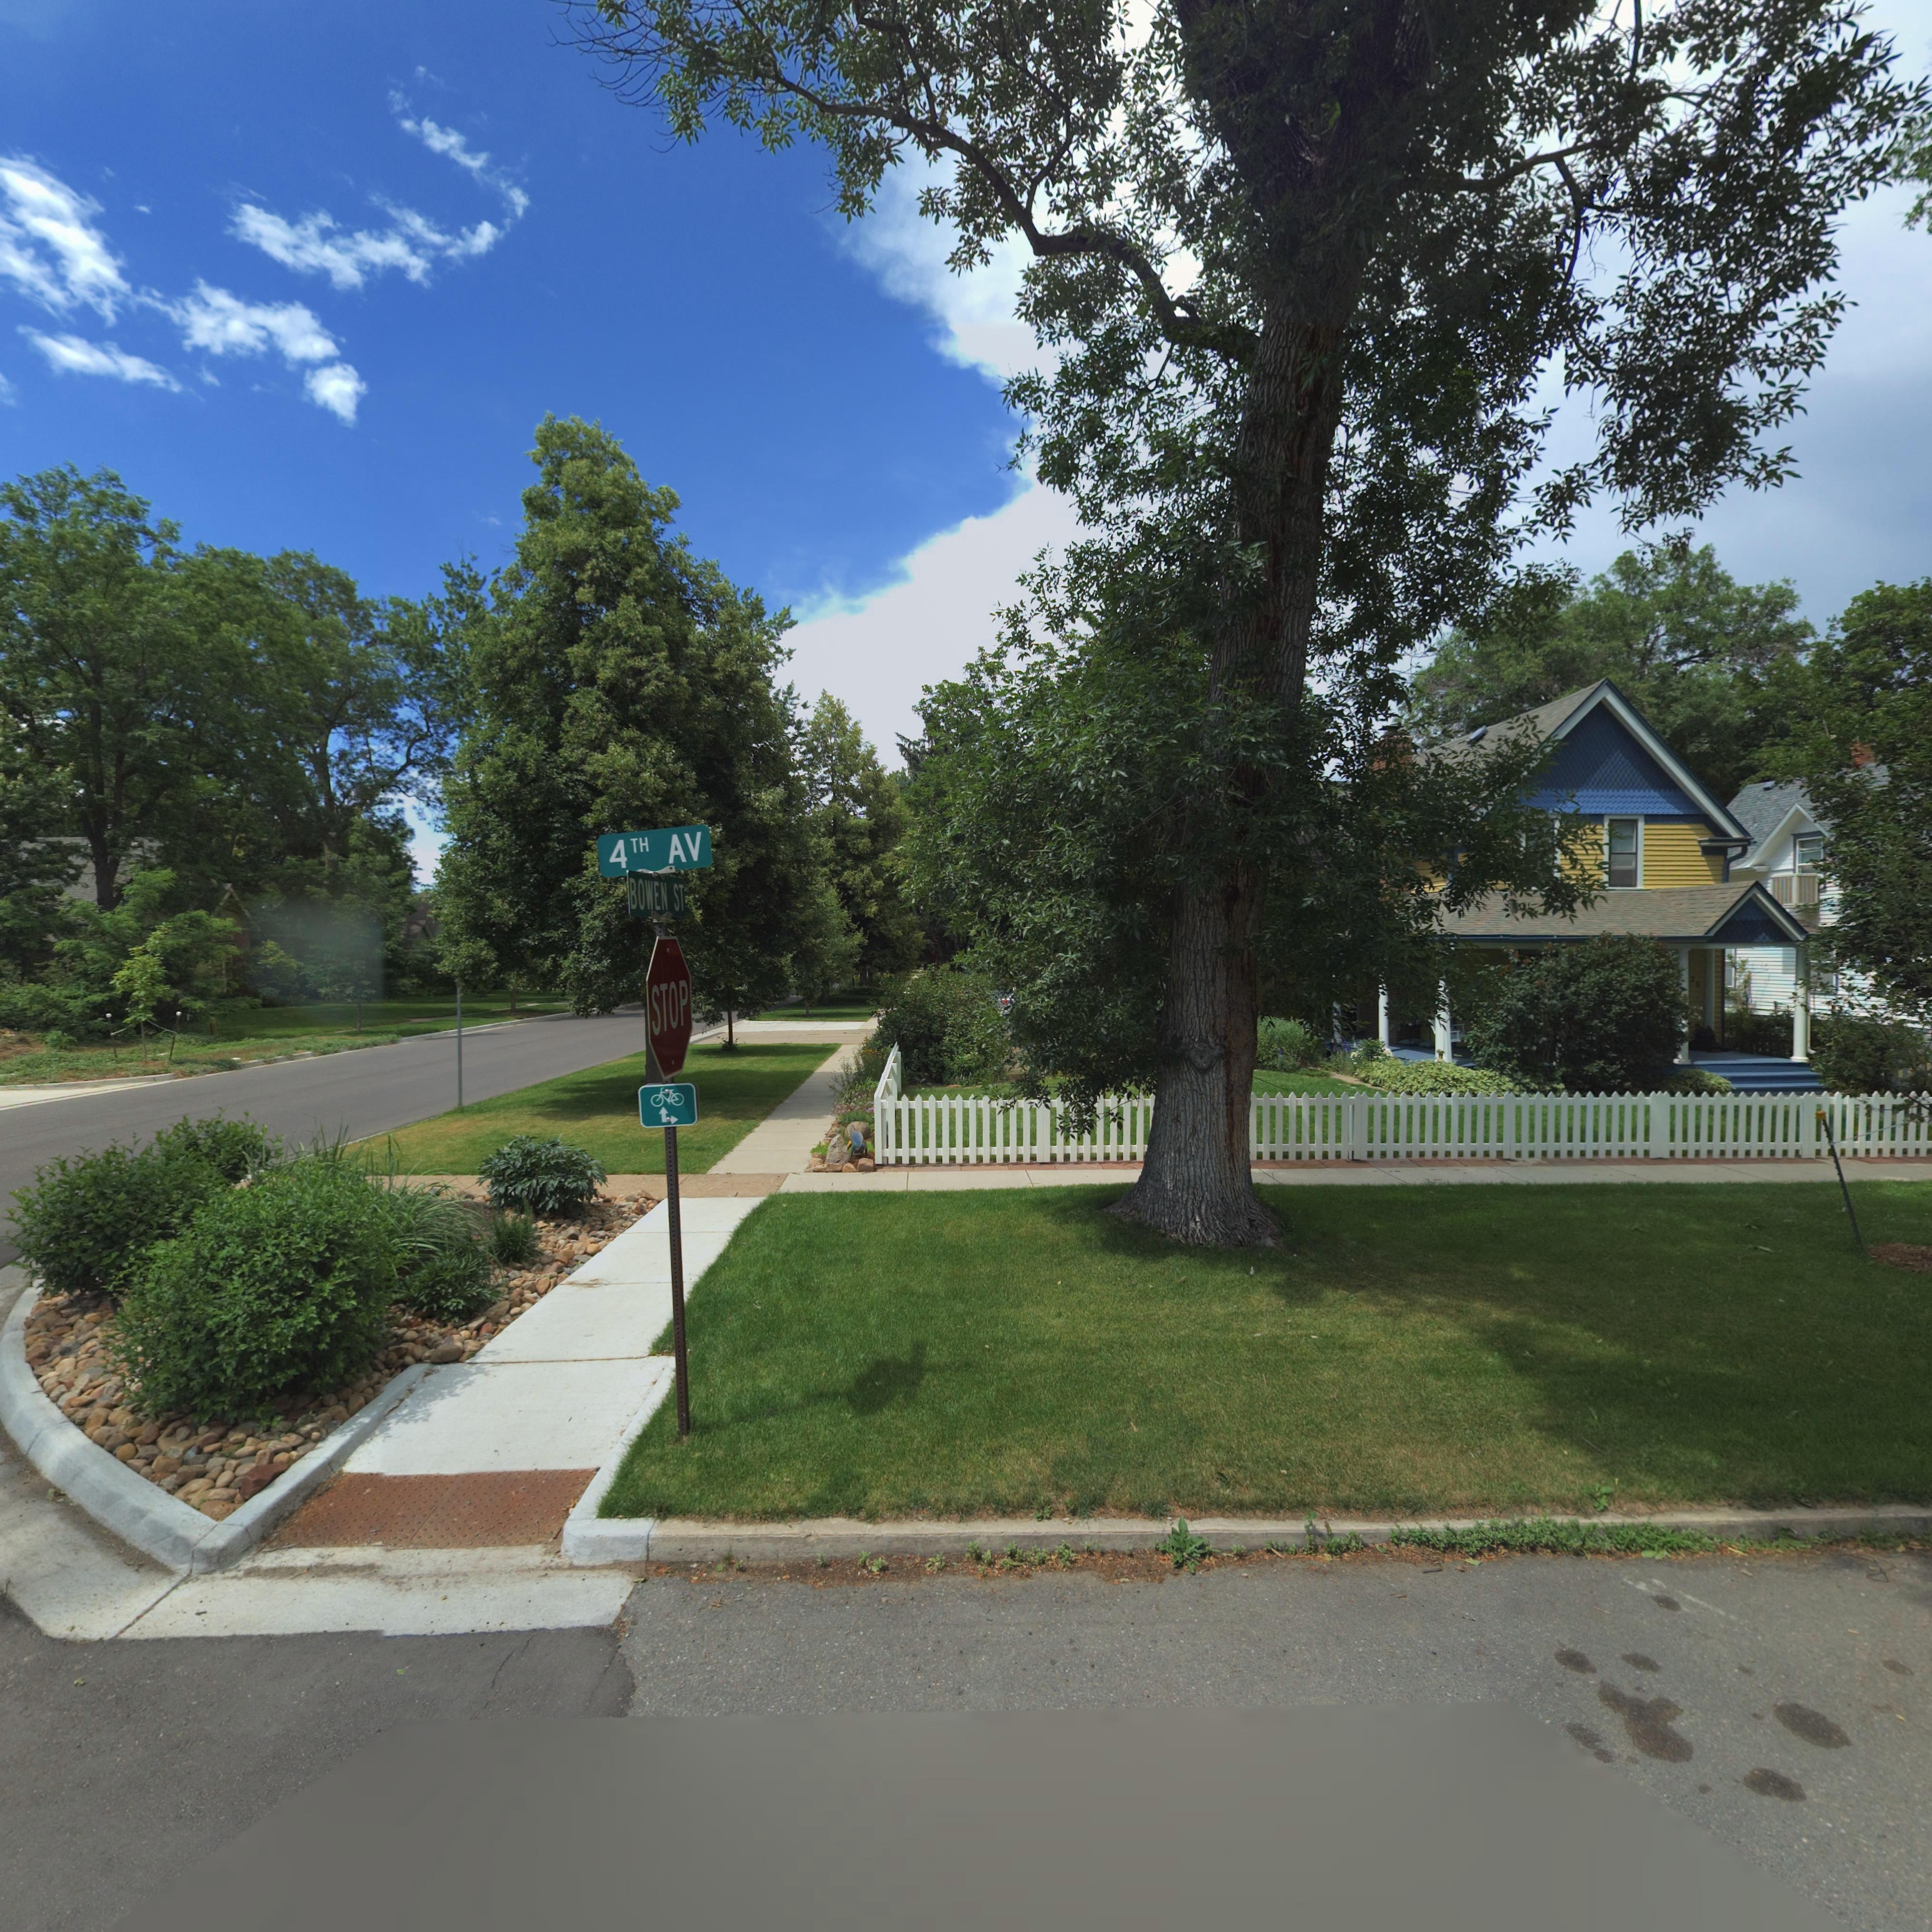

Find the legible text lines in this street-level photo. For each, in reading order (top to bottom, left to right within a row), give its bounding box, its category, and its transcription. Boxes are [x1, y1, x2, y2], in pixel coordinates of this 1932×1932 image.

[608, 831, 703, 870] StreetName: 4TH AV
[628, 877, 685, 912] StreetName: BOWEN ST
[1689, 975, 1701, 987] StreetNumber: 38